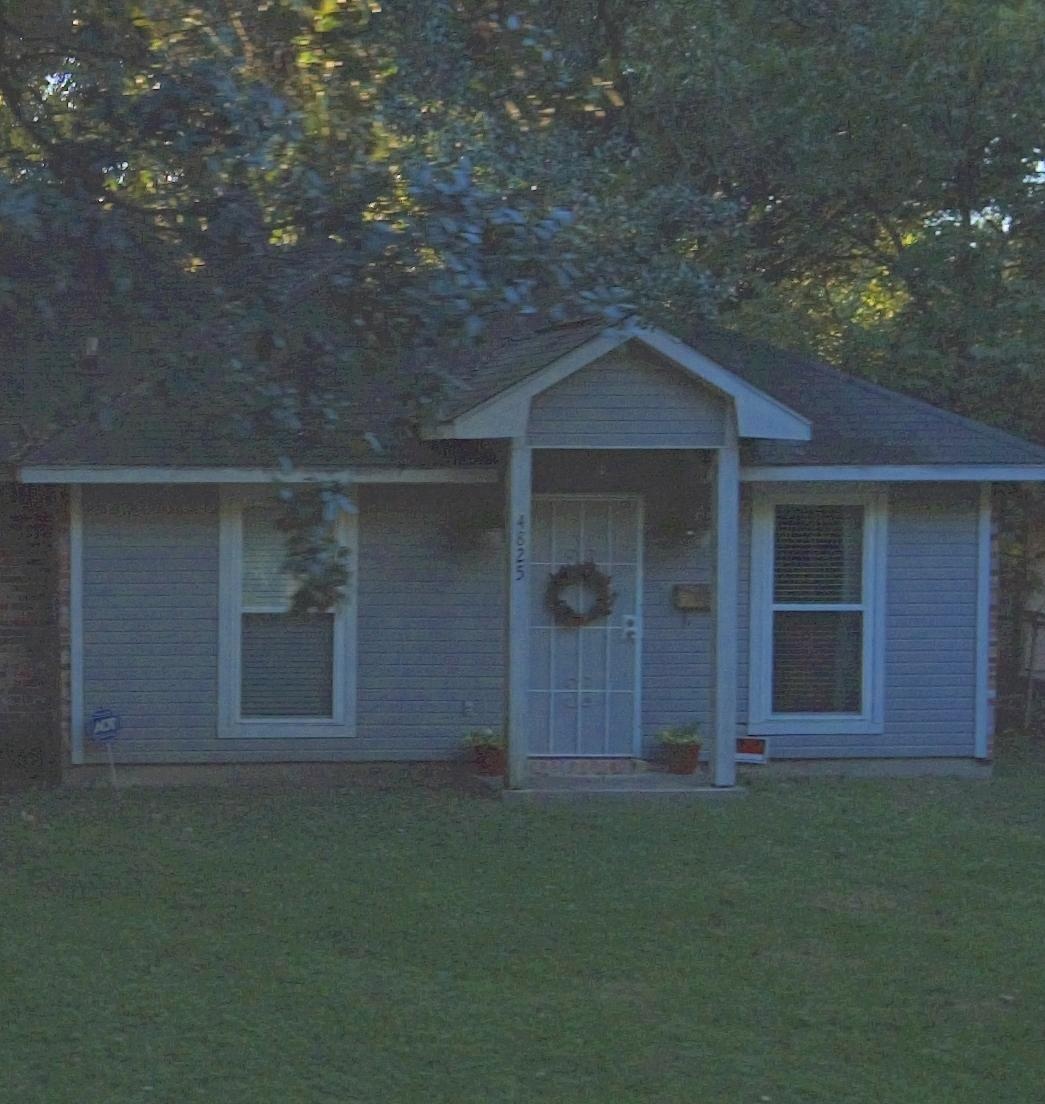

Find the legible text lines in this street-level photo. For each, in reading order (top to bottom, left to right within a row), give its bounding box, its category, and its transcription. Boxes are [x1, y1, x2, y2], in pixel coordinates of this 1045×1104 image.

[513, 513, 528, 582] StreetNumber: 4825
[92, 715, 119, 735] None: ADT